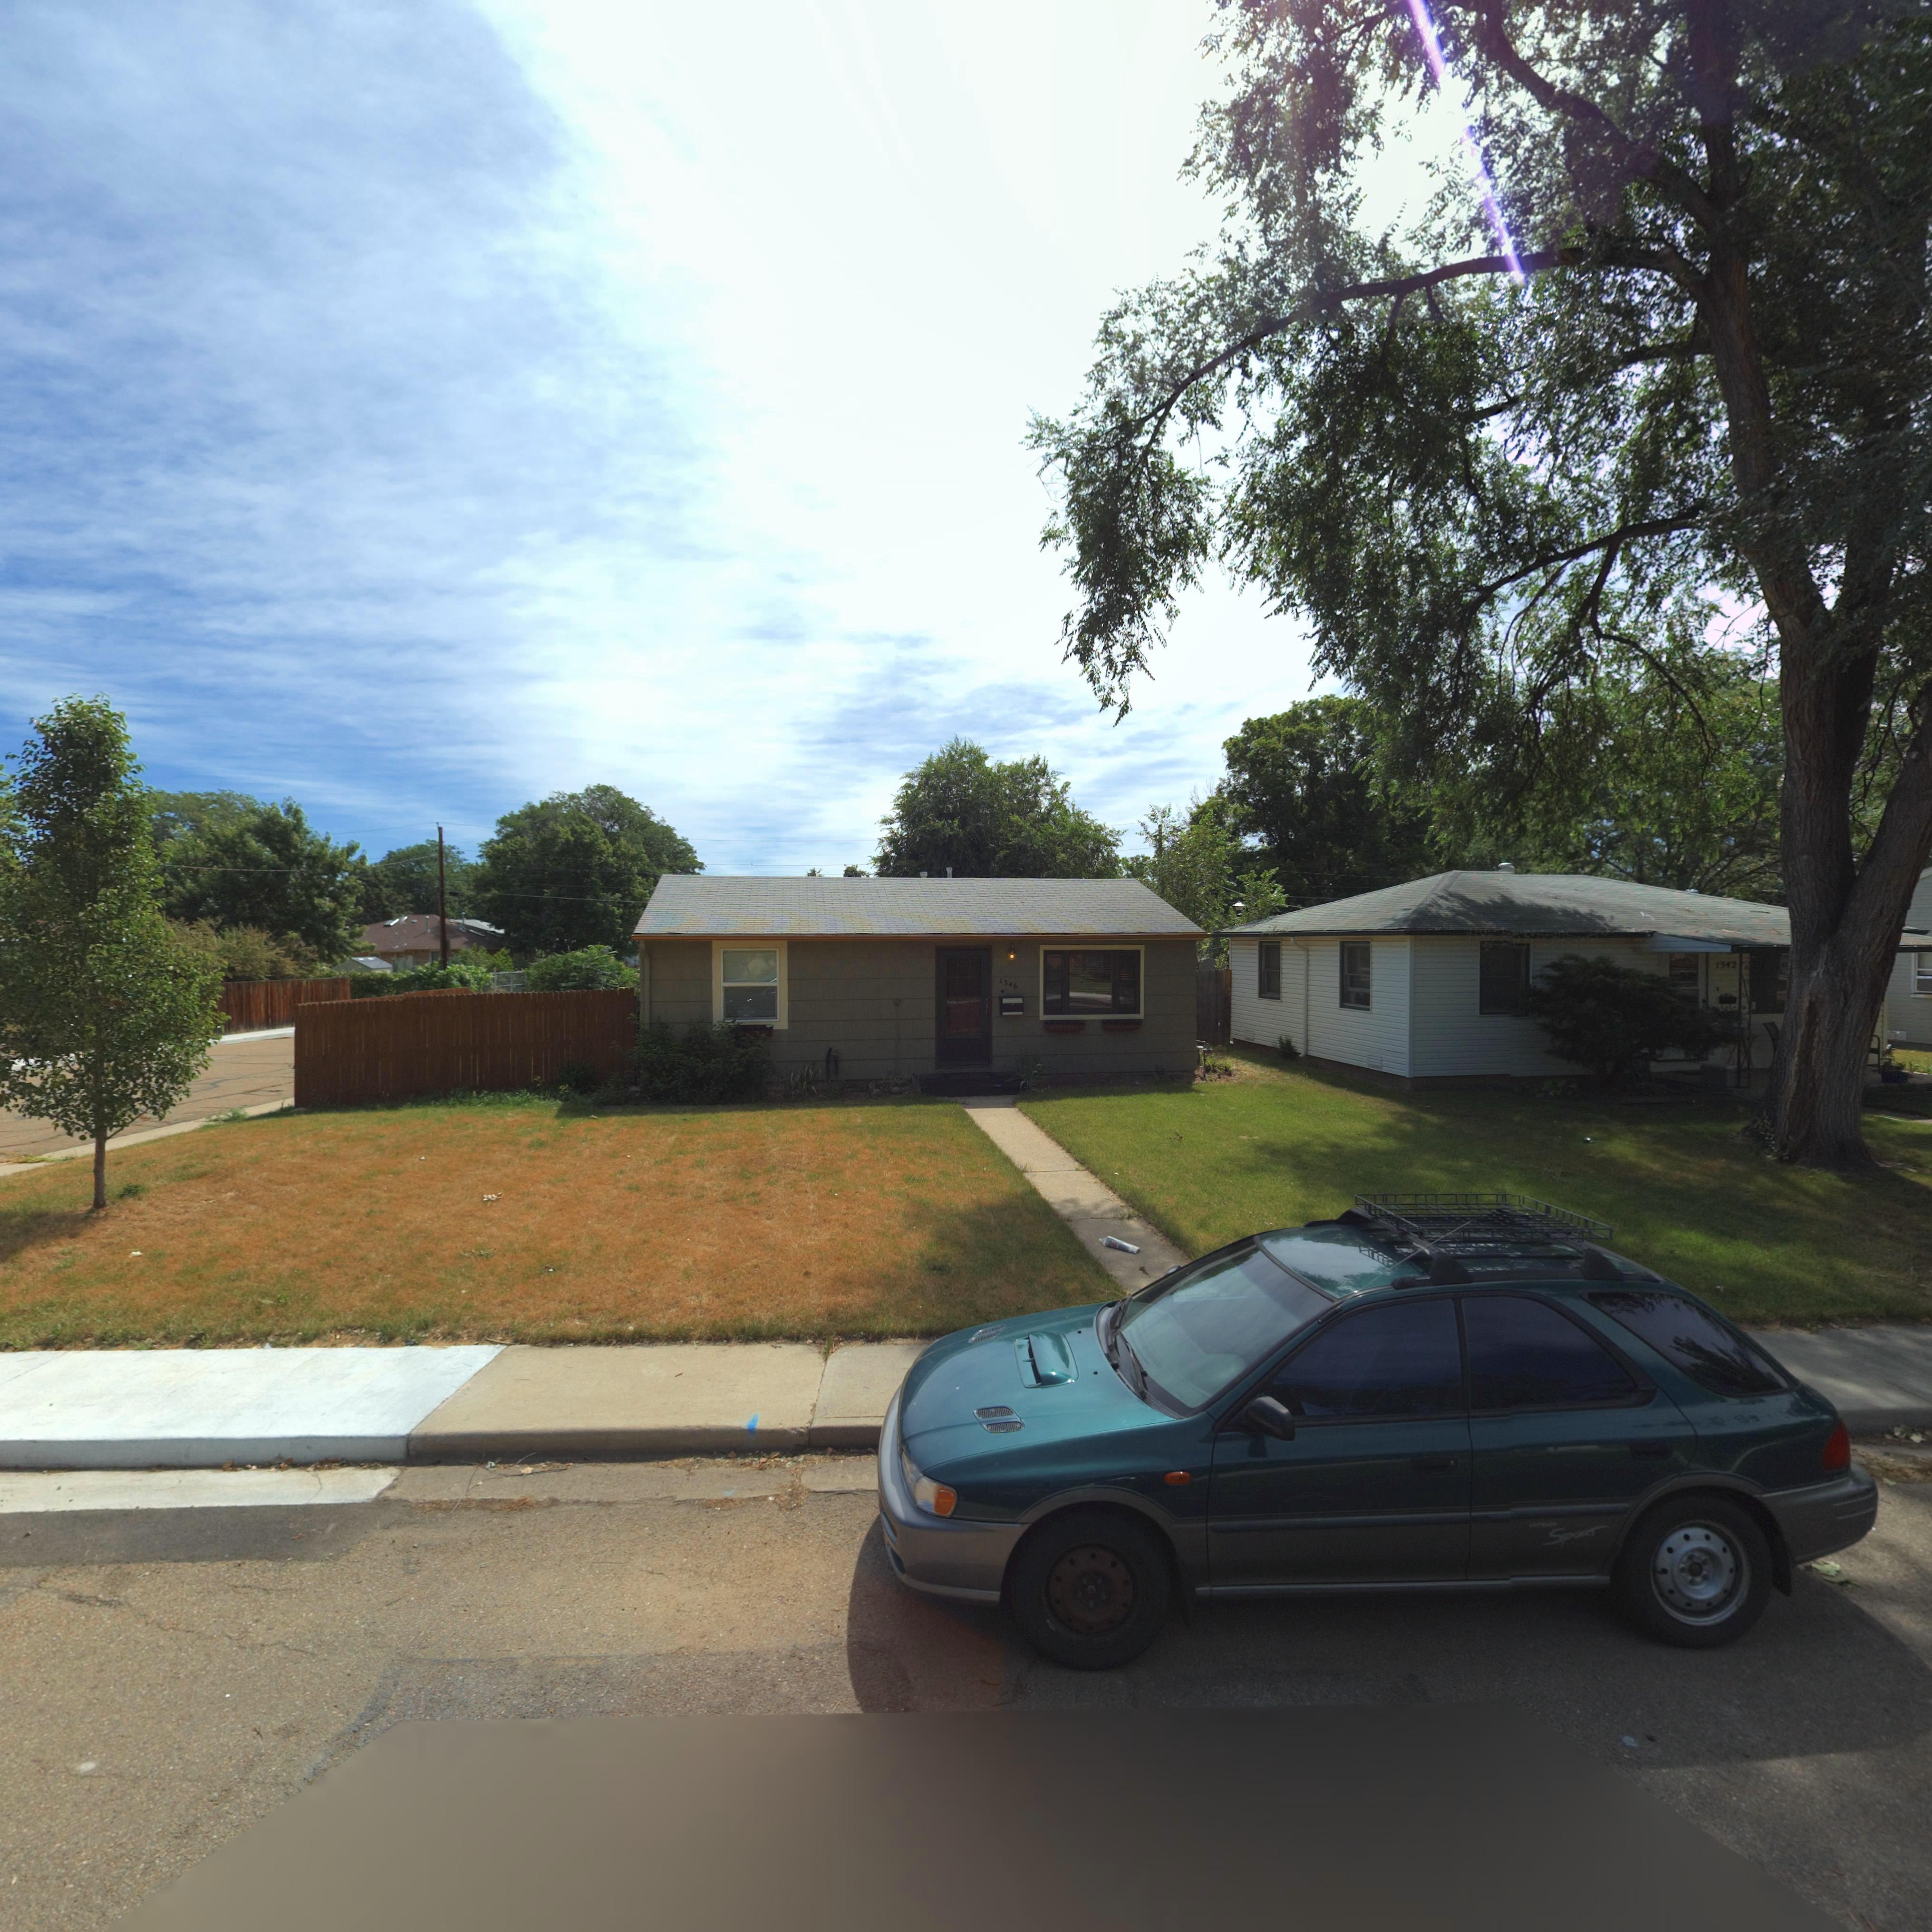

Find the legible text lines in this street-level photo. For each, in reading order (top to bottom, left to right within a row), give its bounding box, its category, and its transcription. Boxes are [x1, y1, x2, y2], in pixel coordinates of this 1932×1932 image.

[1715, 959, 1737, 969] StreetNumber: 1342
[999, 976, 1017, 989] StreetNumber: 1346